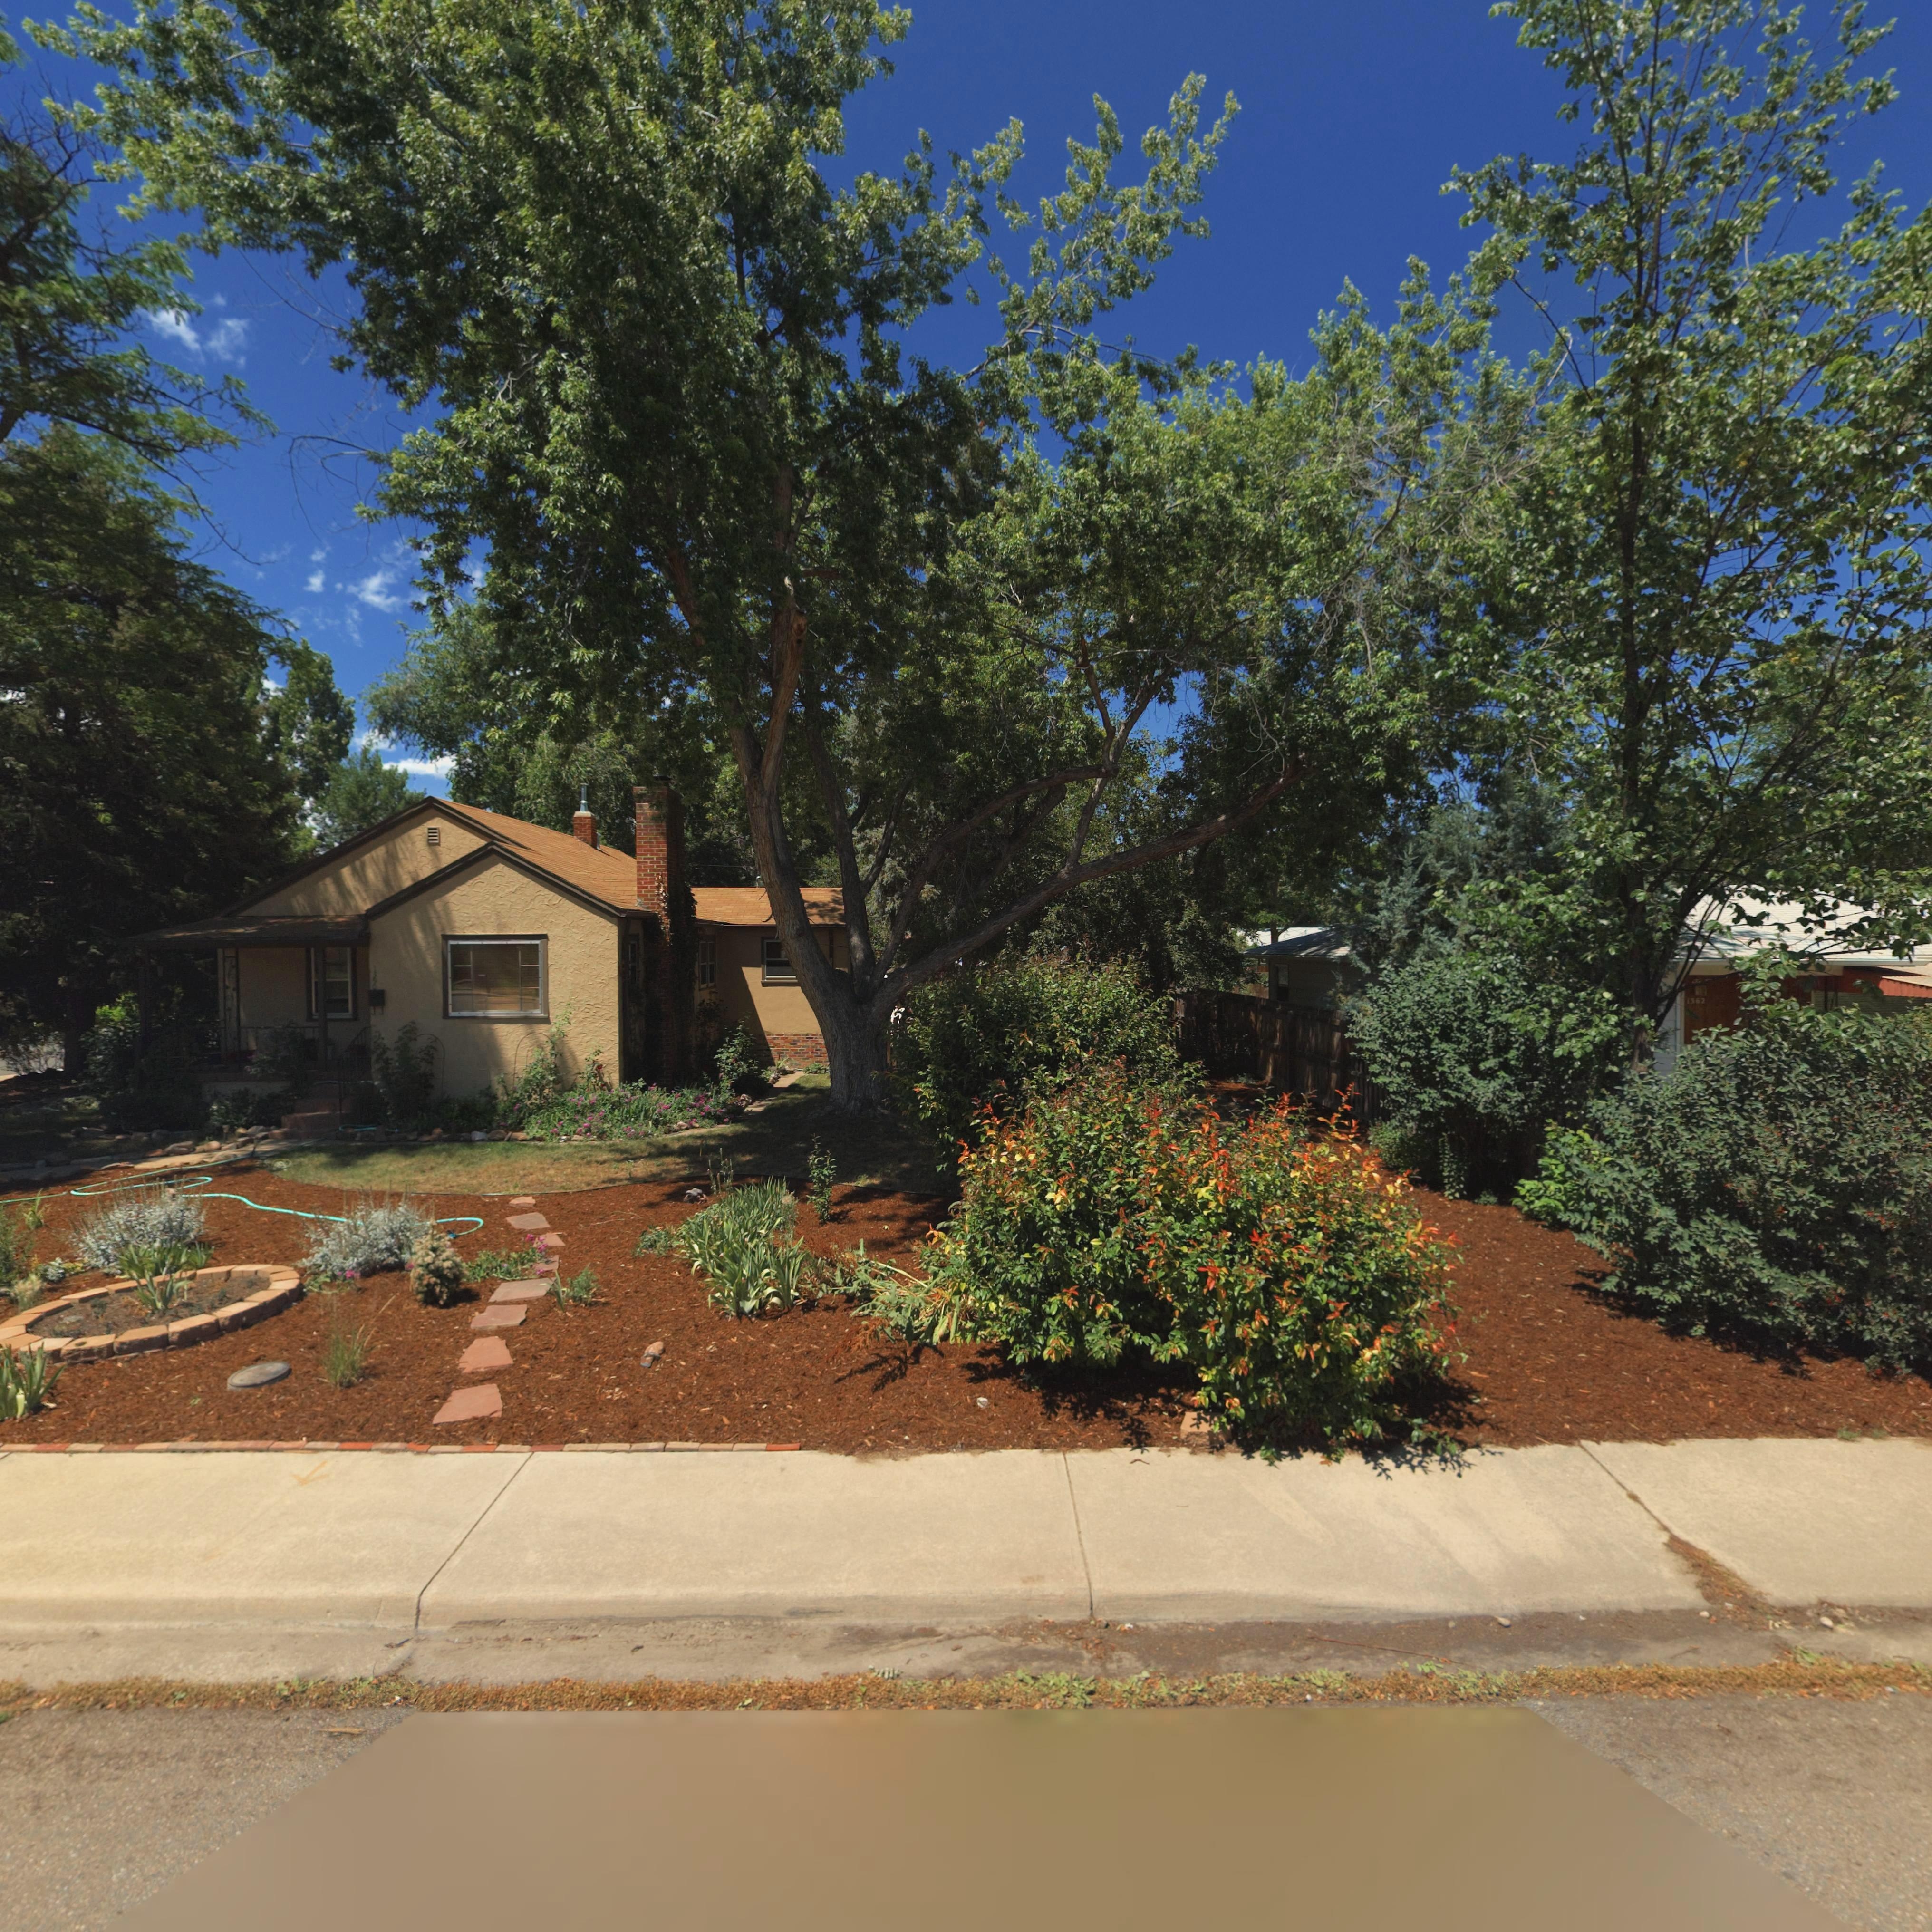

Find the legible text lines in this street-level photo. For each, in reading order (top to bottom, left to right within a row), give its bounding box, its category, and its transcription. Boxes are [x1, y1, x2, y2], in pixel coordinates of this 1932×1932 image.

[371, 964, 377, 989] StreetNumber: 1390
[1686, 997, 1705, 1005] StreetNumber: 1362